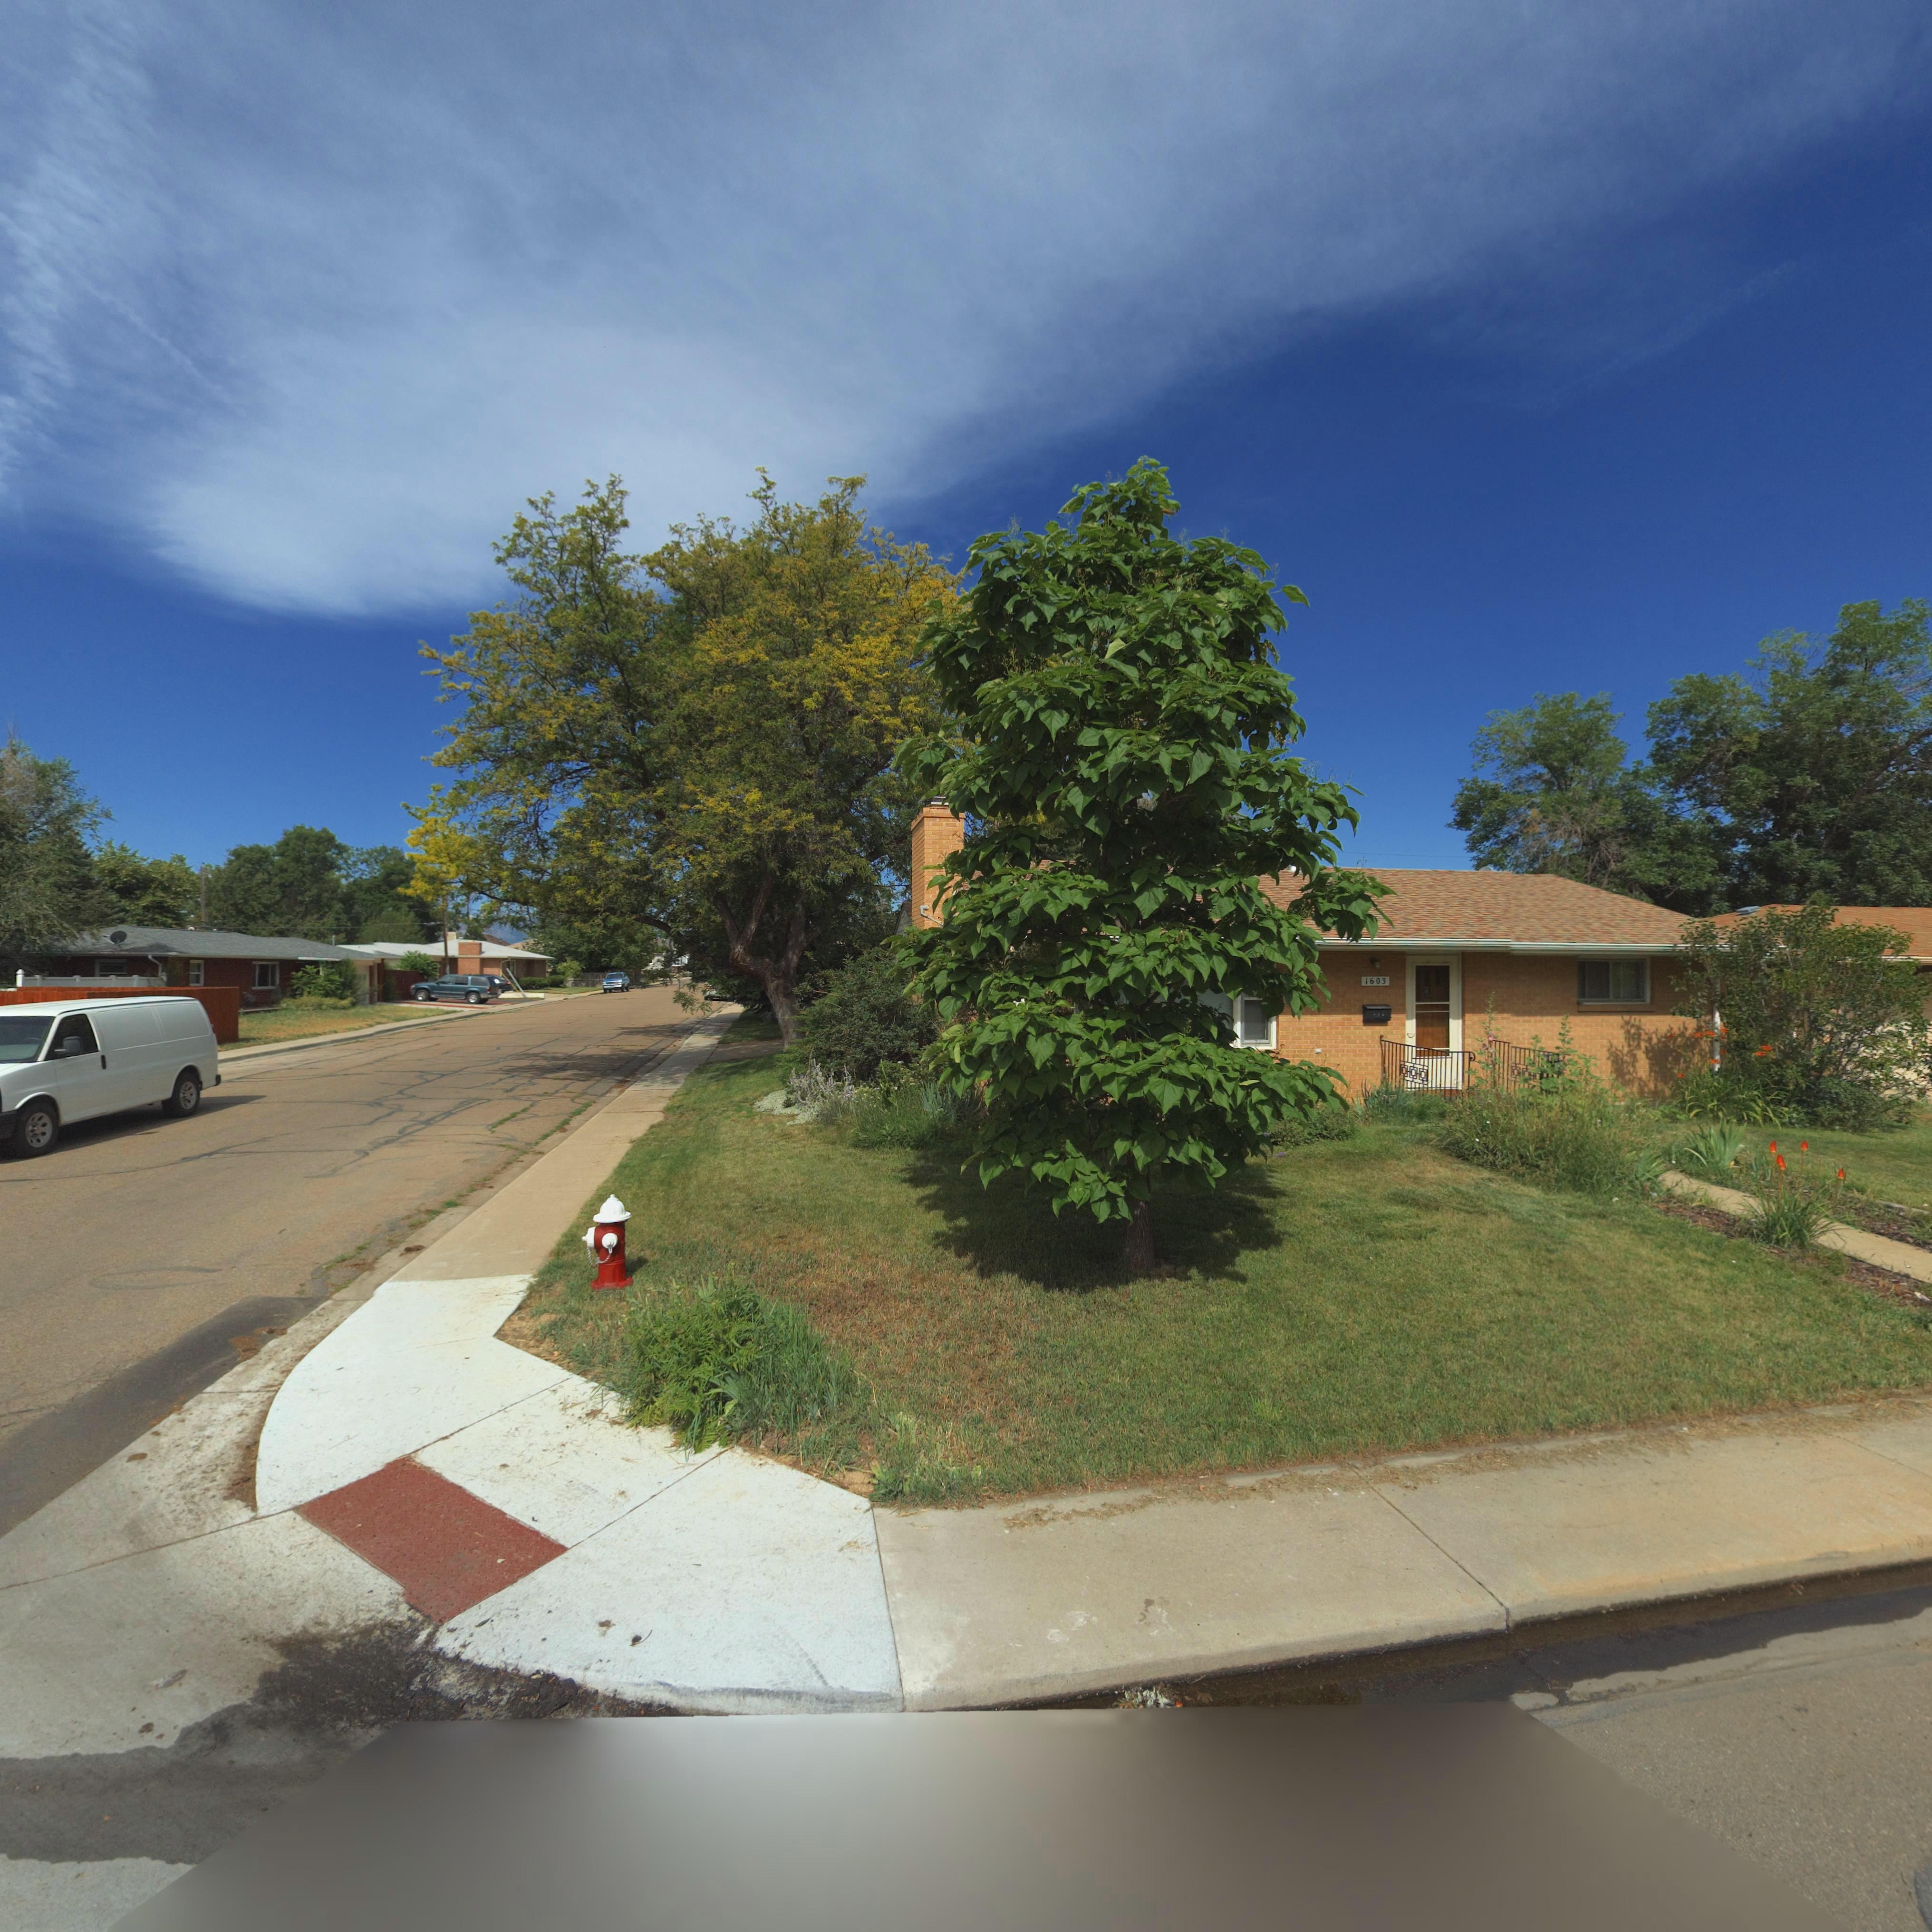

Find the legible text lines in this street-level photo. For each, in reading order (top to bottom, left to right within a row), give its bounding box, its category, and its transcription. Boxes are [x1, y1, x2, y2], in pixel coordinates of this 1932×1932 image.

[1364, 977, 1386, 985] StreetNumber: 1603